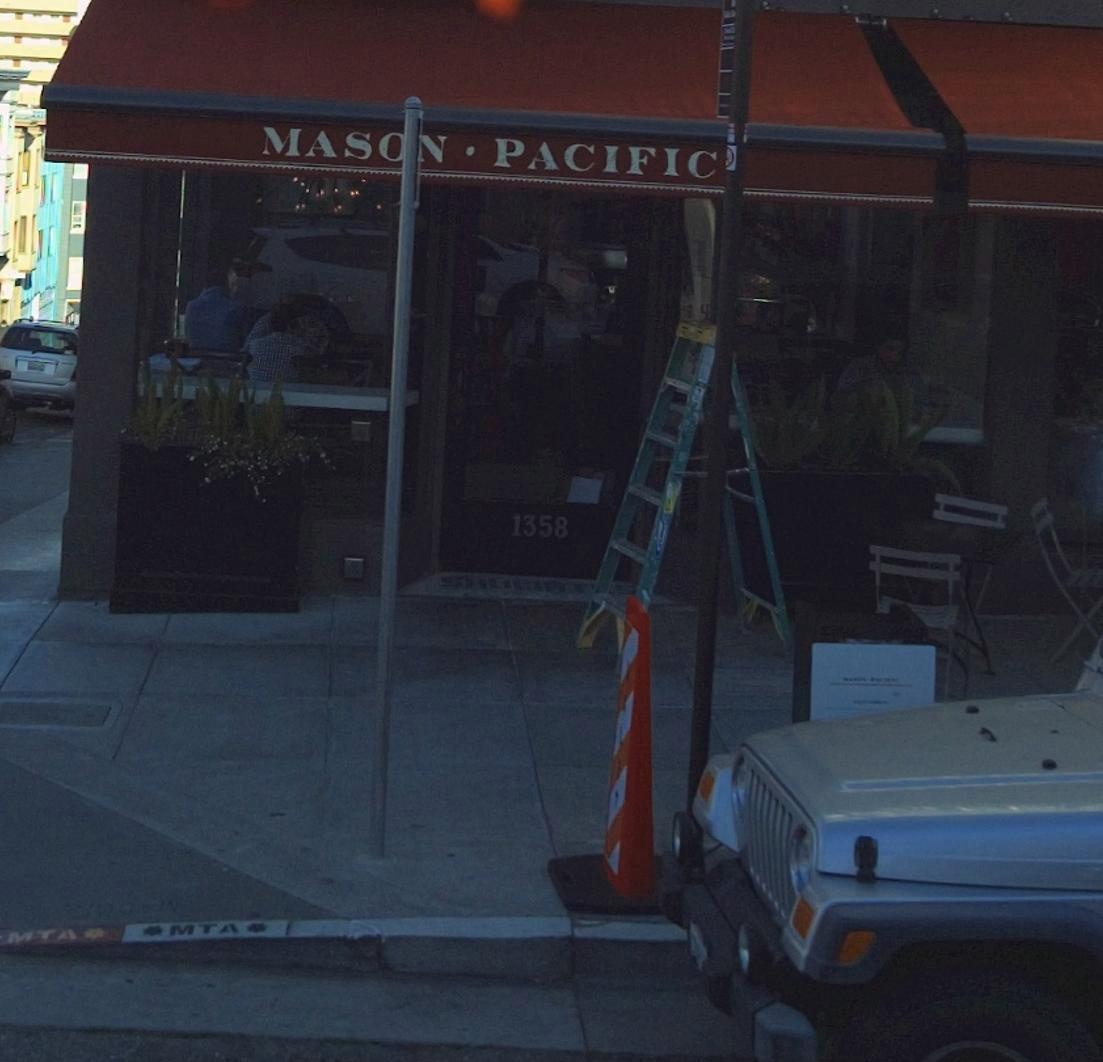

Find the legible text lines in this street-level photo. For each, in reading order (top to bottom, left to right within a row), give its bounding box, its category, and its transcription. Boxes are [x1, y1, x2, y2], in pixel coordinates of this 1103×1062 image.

[255, 122, 724, 185] BusinessName: MASON * PAFICIC
[509, 512, 570, 541] StreetNumber: 1358
[5, 925, 82, 947] None: MTA
[163, 920, 246, 937] None: MTA